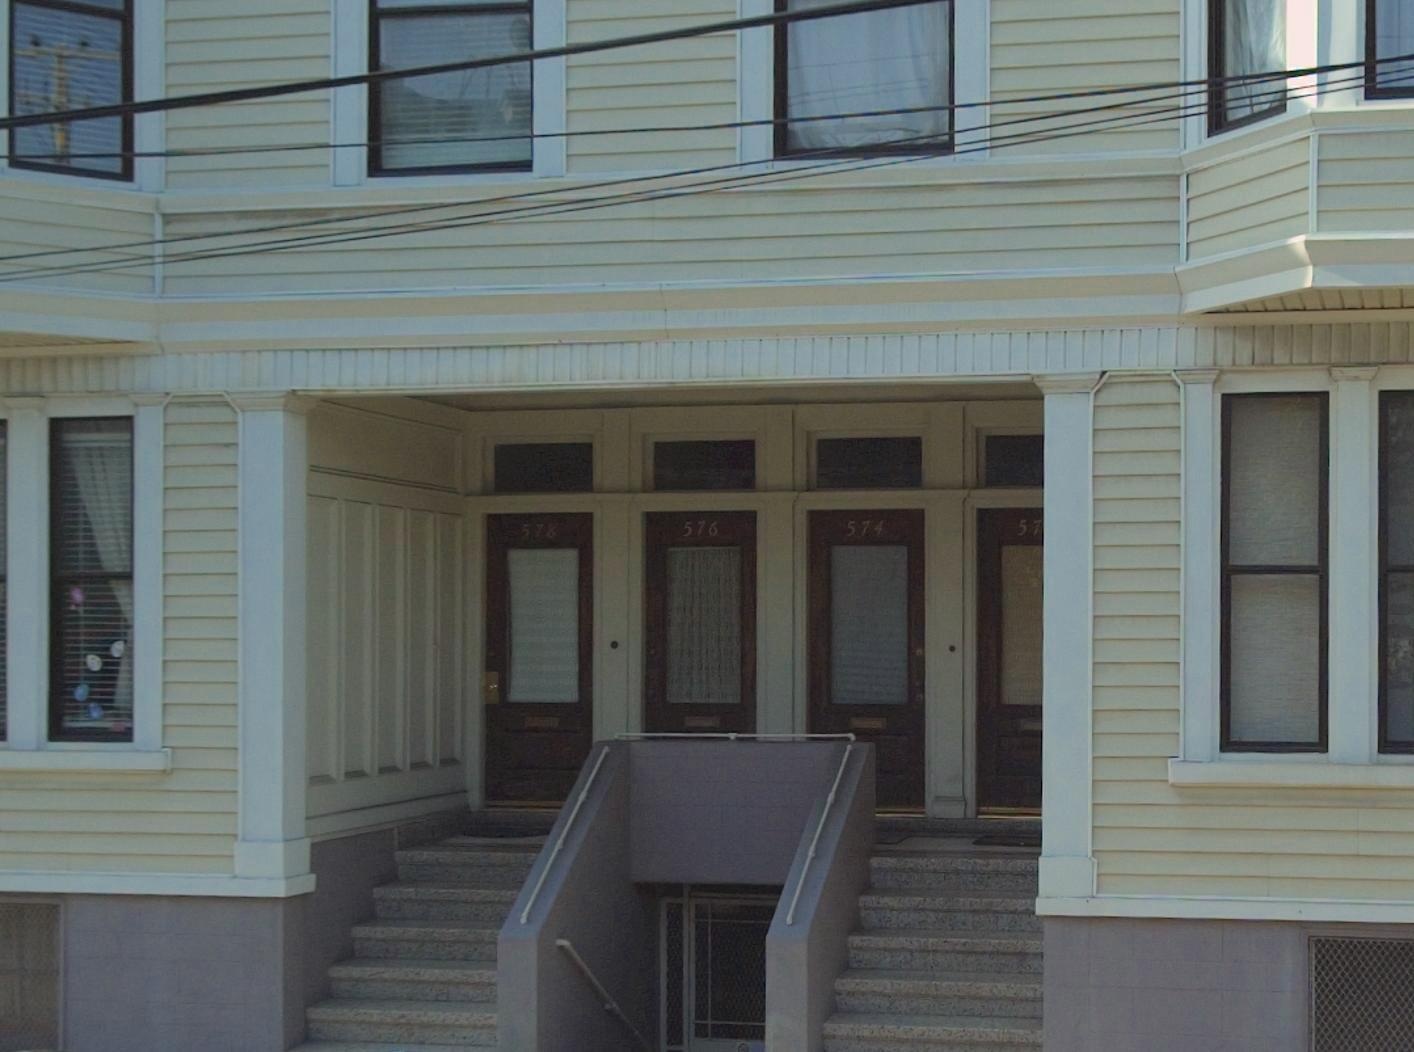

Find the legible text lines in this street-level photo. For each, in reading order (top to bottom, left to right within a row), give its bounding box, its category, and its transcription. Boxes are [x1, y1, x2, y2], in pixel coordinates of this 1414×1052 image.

[518, 520, 558, 541] StreetNumber: 578
[680, 518, 720, 539] StreetNumber: 576
[844, 518, 886, 539] StreetNumber: 574
[1016, 516, 1043, 537] StreetNumber: 57